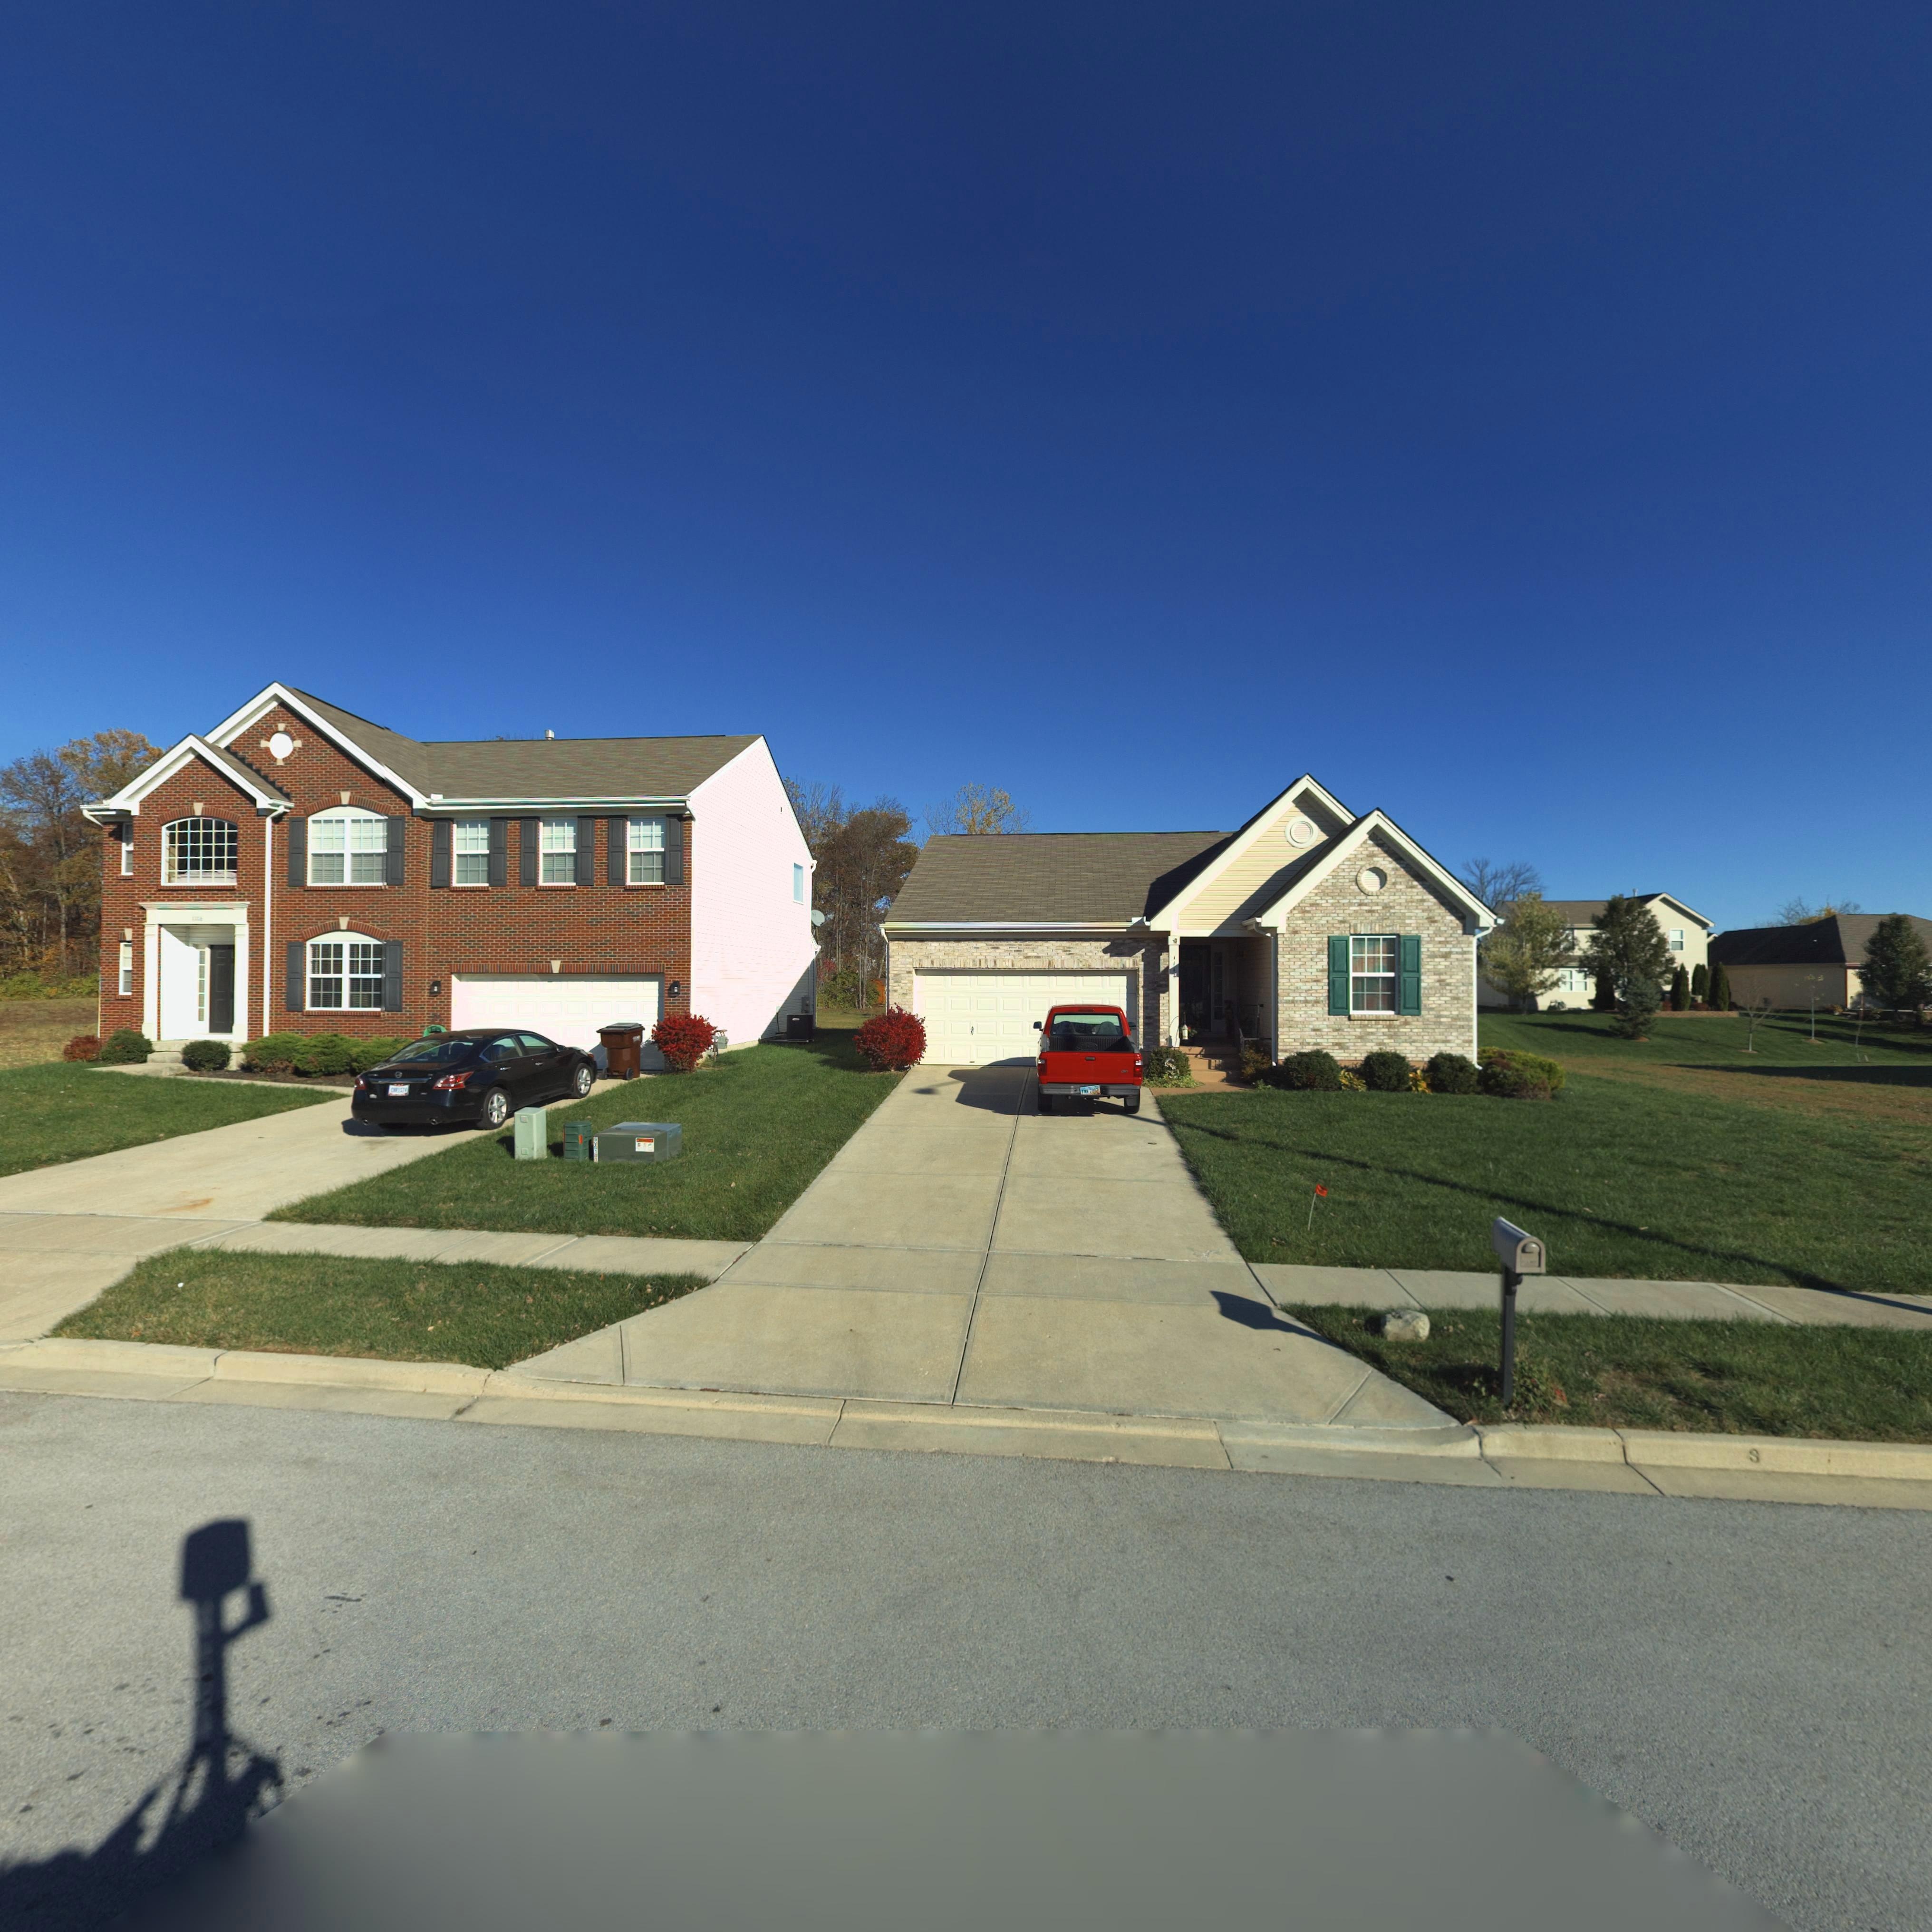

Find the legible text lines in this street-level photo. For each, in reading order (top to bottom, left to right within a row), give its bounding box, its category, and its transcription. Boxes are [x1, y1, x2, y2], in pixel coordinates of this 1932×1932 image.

[192, 915, 203, 922] StreetNumber: 1116
[1172, 955, 1177, 979] StreetNumber: 1114